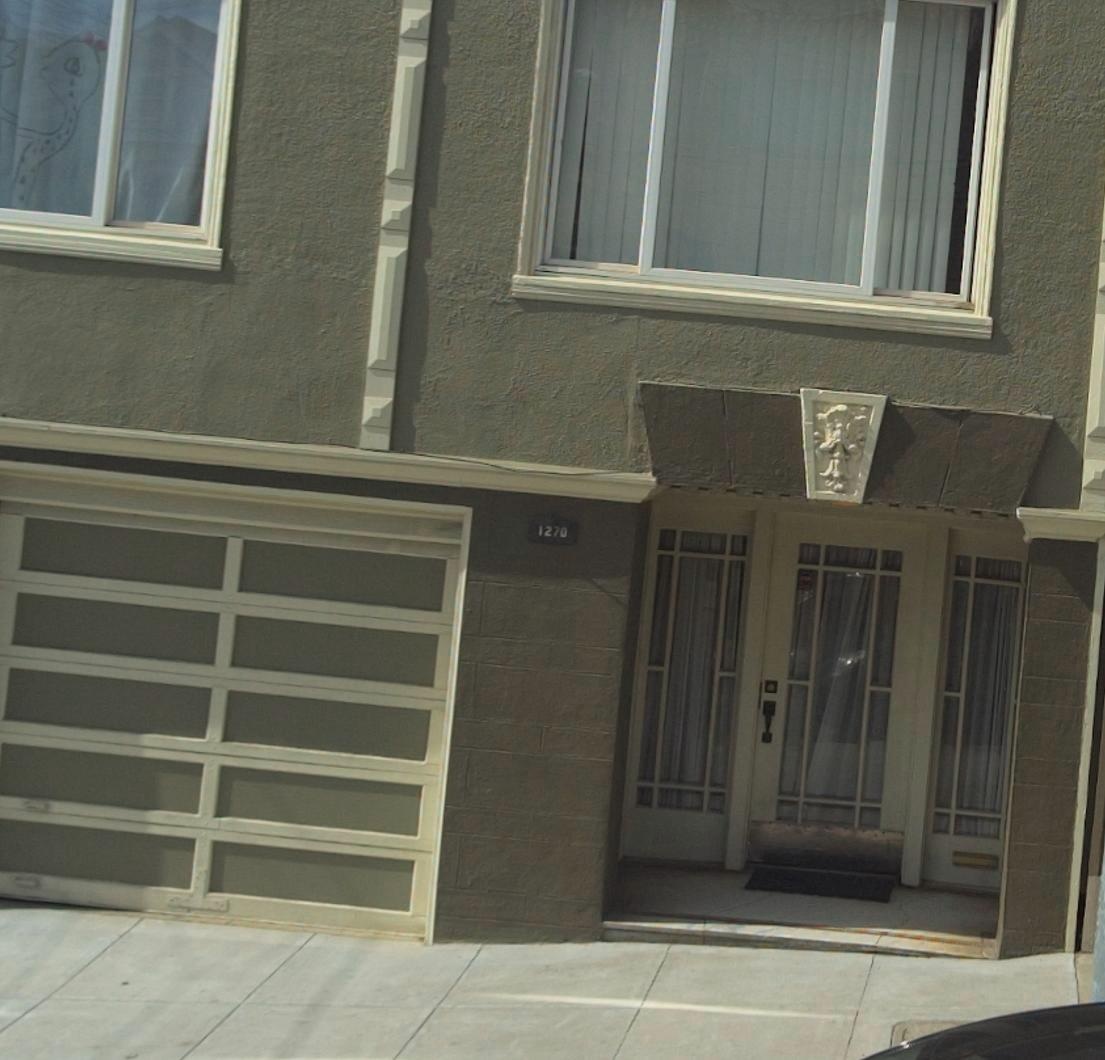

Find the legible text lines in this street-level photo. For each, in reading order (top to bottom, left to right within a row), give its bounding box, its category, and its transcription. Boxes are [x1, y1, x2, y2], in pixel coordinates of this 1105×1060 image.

[537, 523, 569, 539] StreetNumber: 1270